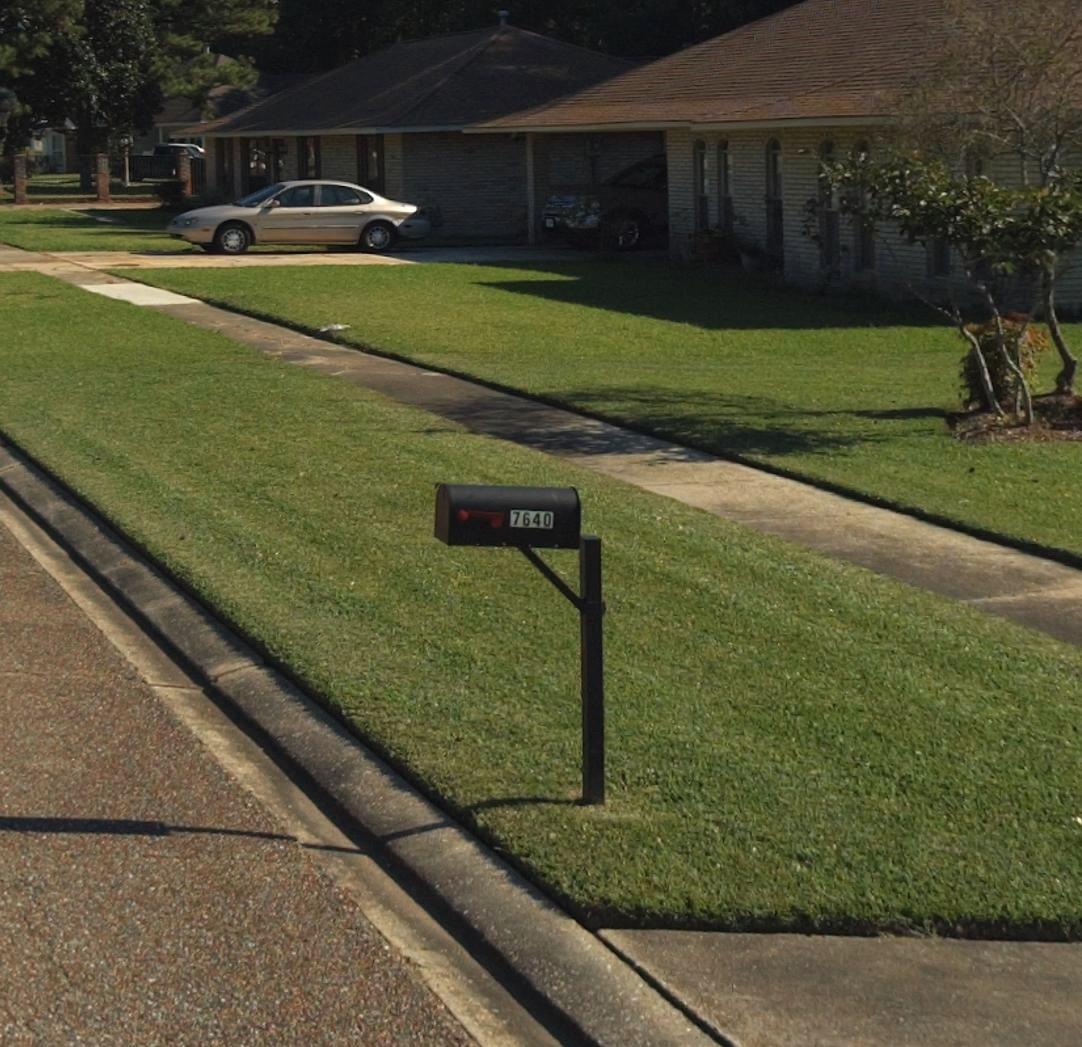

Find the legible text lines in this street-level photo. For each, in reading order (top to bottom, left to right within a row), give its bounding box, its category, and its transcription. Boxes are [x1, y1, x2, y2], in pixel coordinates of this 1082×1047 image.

[512, 510, 552, 527] StreetNumber: 7640